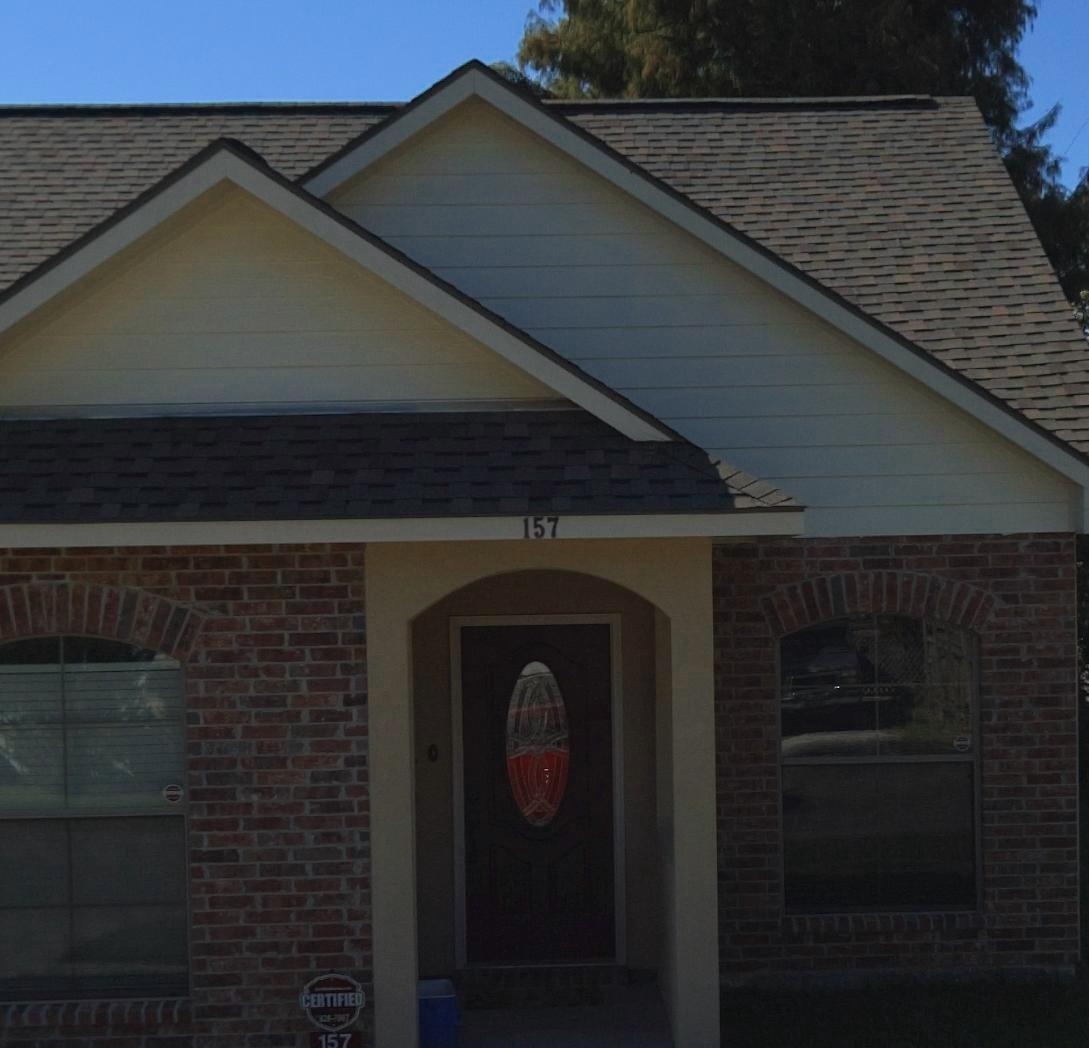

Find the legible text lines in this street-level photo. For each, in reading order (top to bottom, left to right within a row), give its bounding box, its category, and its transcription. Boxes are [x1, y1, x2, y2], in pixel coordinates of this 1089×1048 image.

[521, 514, 561, 541] StreetNumber: 157
[301, 989, 364, 1010] None: CERTIFIED